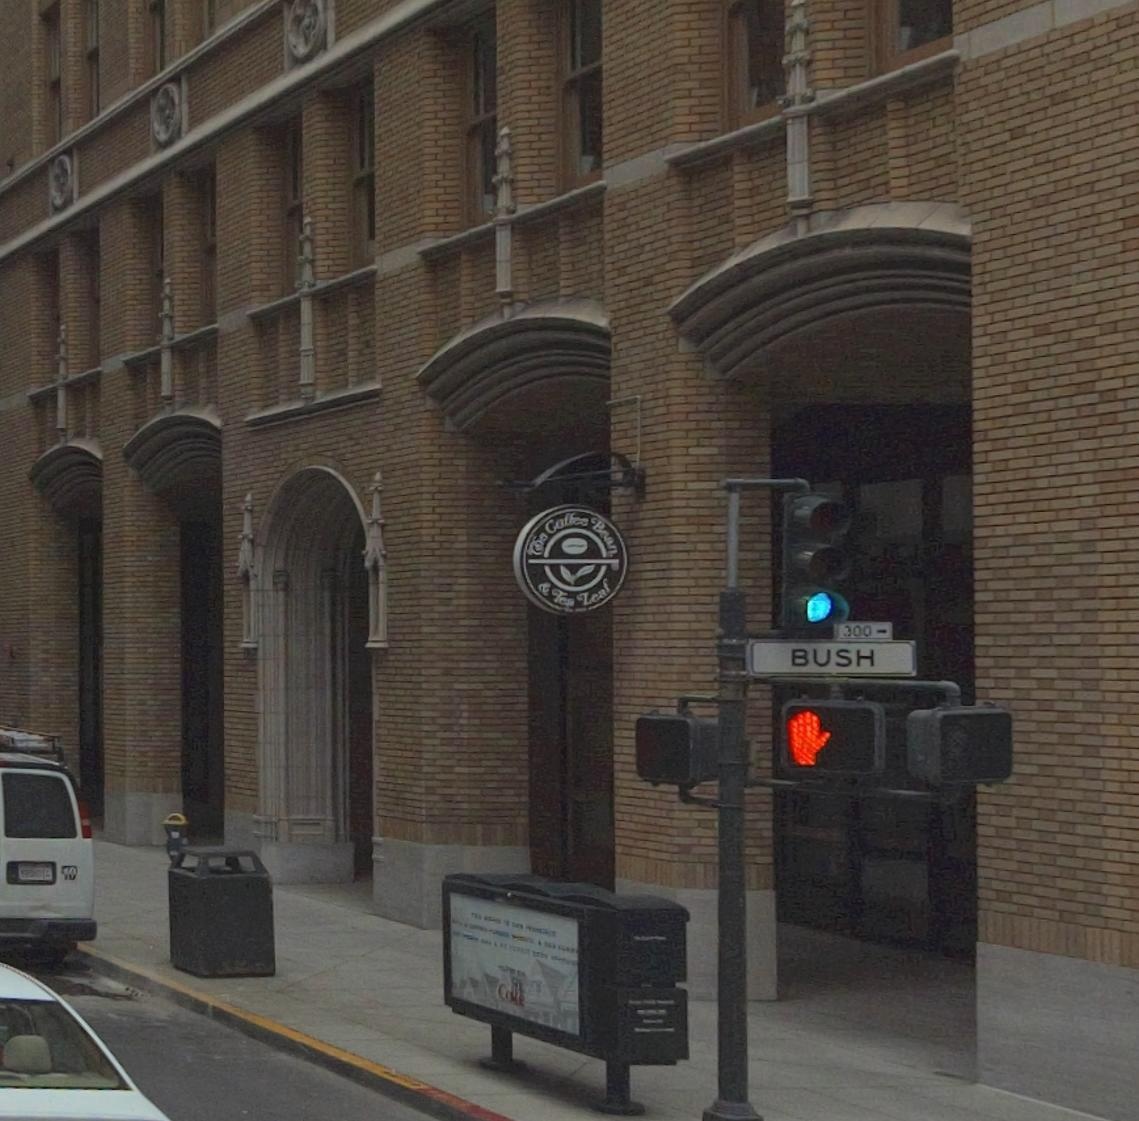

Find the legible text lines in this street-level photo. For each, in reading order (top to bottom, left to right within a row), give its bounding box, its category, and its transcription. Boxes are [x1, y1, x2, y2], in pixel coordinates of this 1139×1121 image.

[522, 509, 621, 558] BusinessName: The Coffee Bean
[532, 576, 616, 610] BusinessName: & Tea Leaf
[841, 622, 891, 639] StreetNumberRange: 300 *
[788, 645, 879, 670] StreetName: BUSH
[61, 863, 80, 883] None: 10